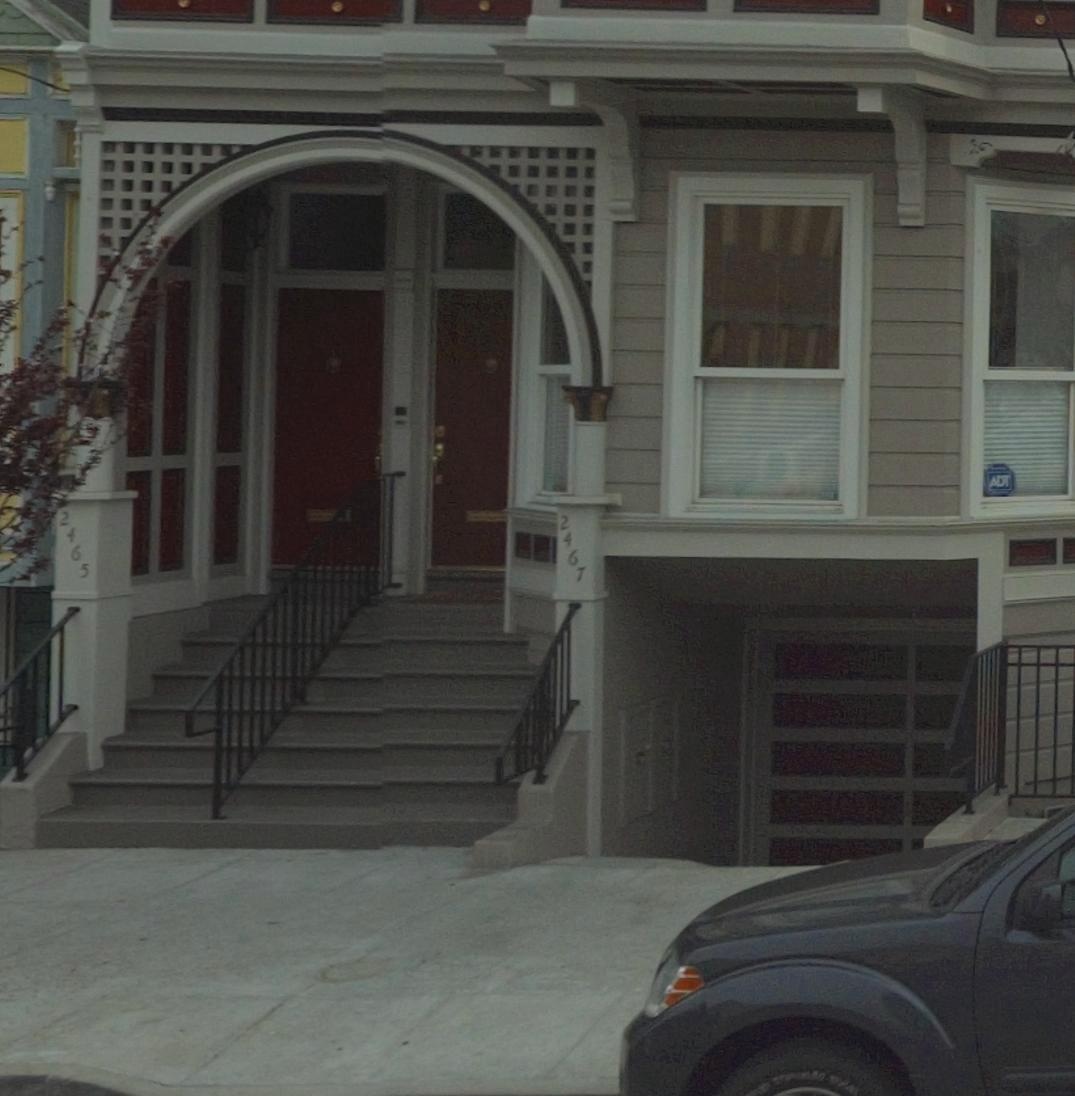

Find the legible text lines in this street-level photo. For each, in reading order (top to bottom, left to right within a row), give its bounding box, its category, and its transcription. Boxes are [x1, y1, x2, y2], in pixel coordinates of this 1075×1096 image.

[987, 474, 1011, 488] None: ADT
[57, 510, 90, 581] StreetNumber: 2465
[556, 513, 589, 587] StreetNumber: 2467